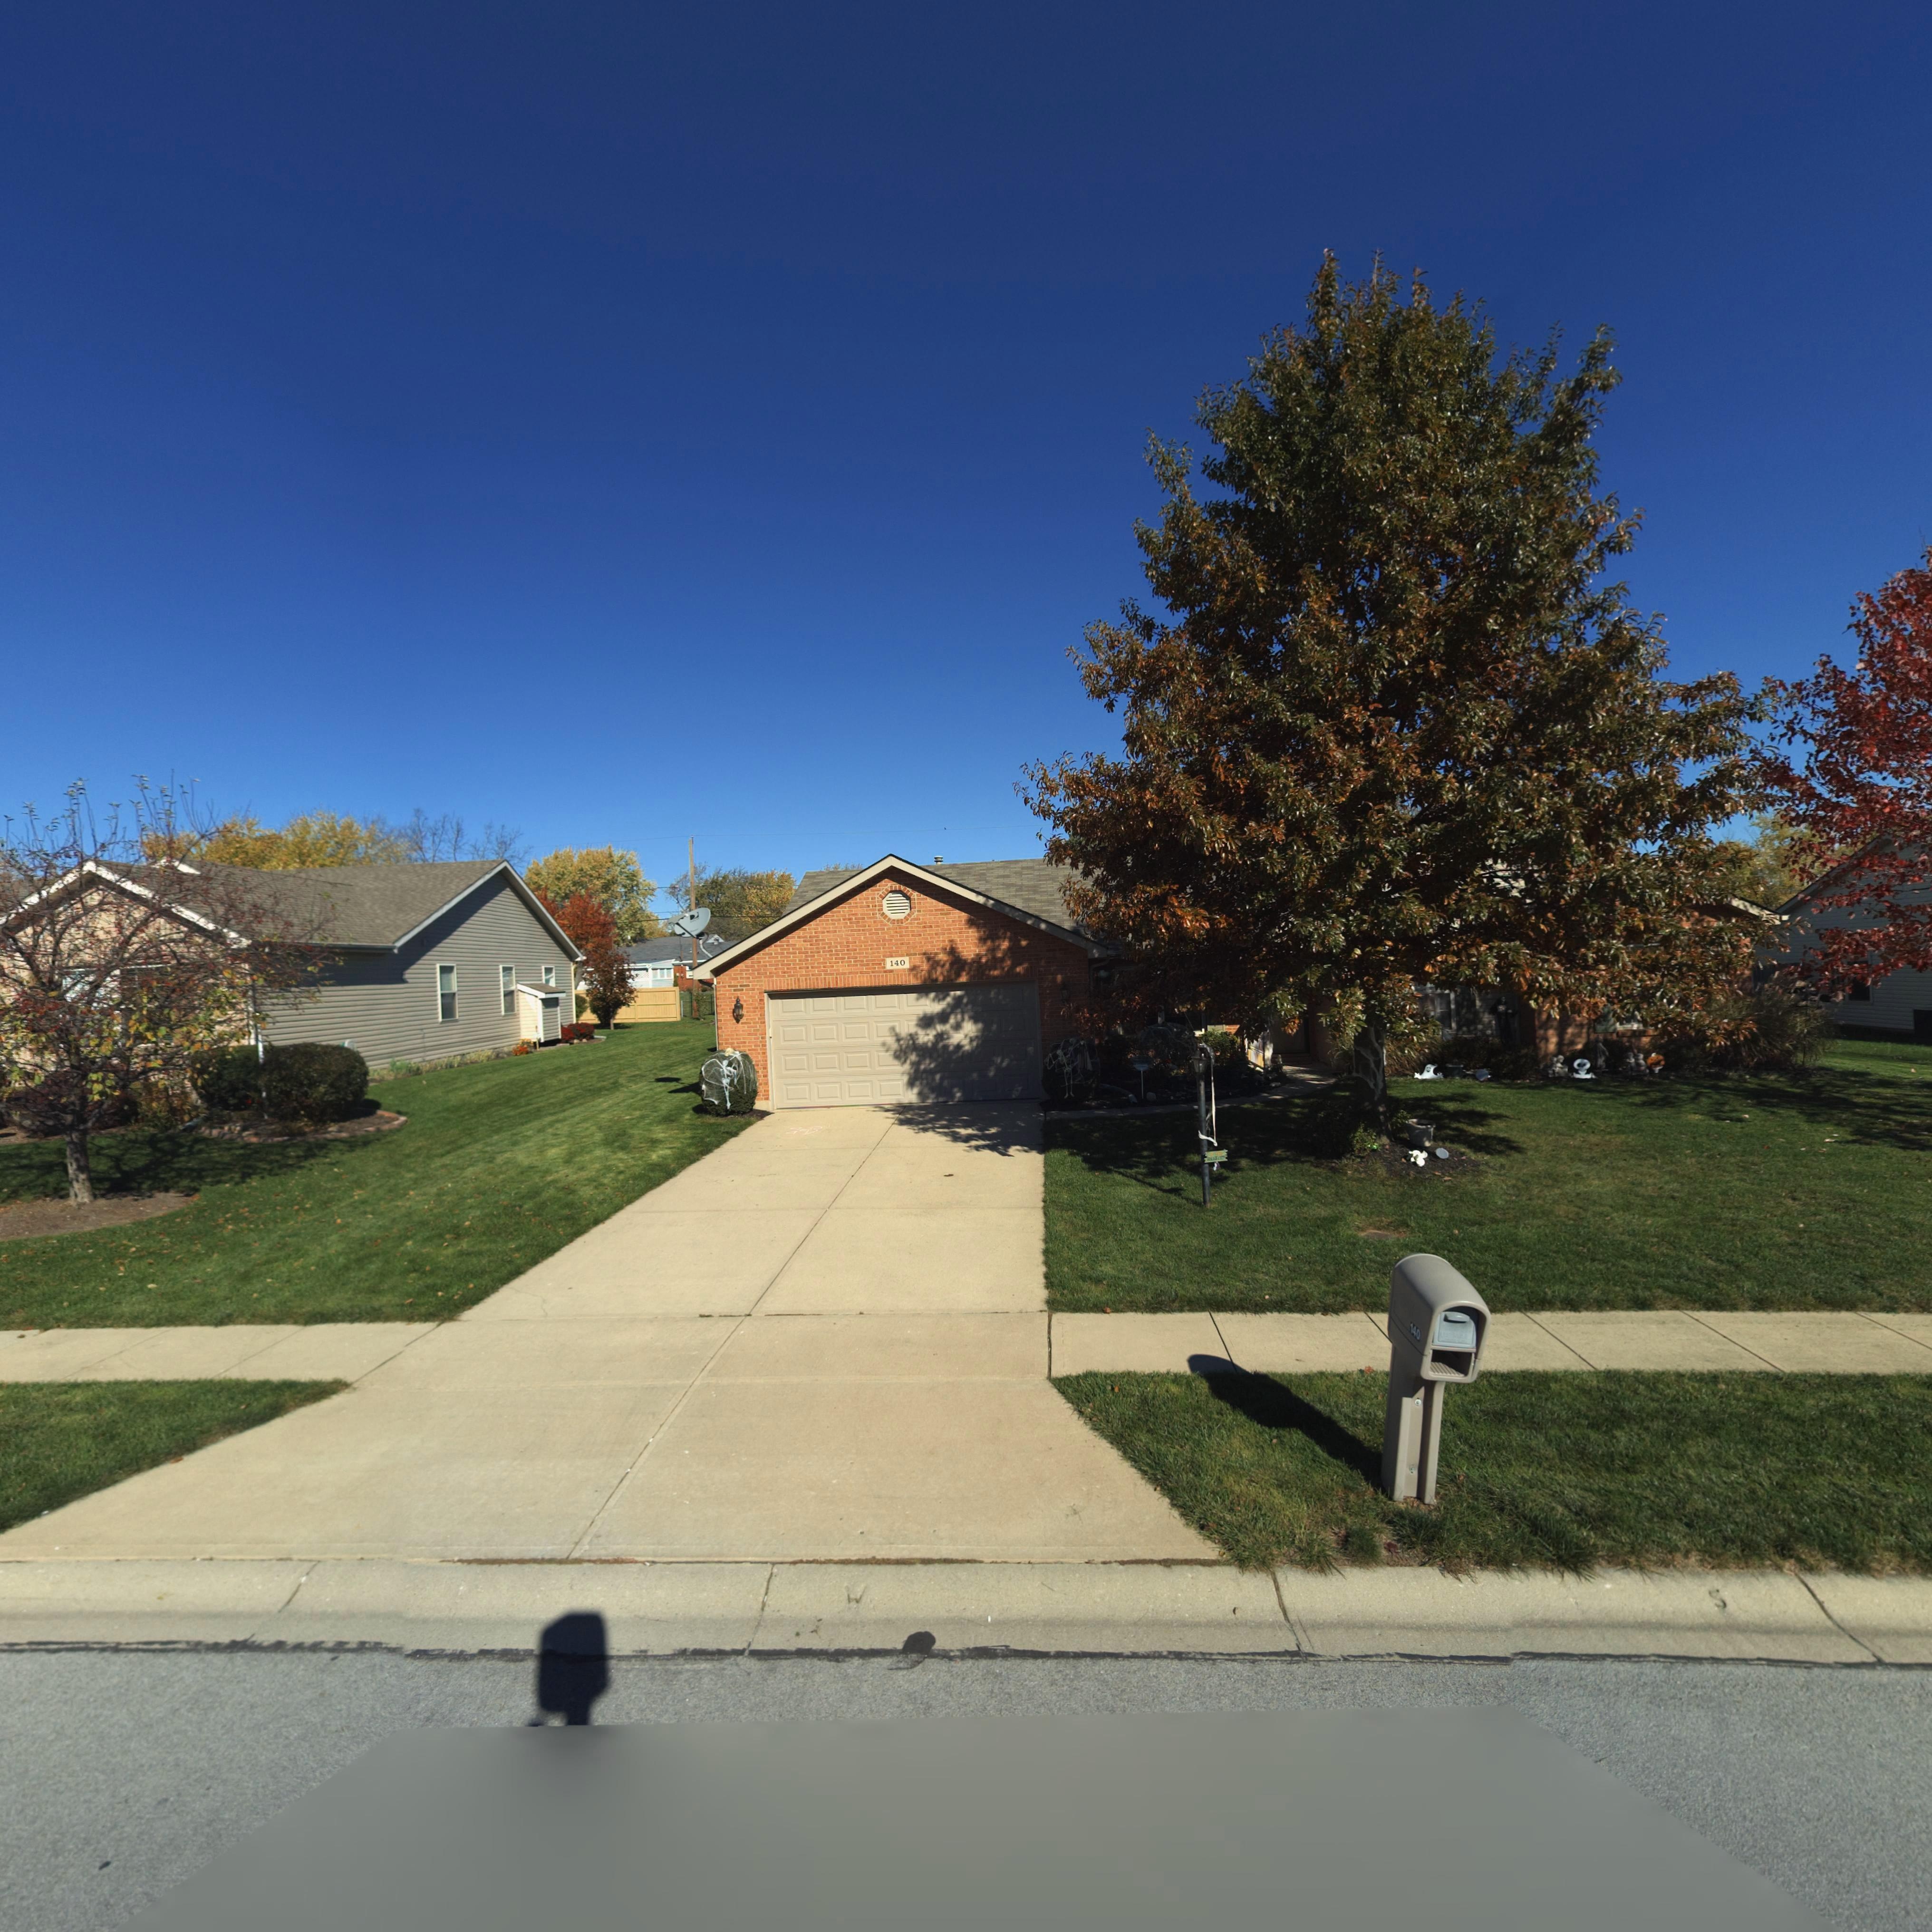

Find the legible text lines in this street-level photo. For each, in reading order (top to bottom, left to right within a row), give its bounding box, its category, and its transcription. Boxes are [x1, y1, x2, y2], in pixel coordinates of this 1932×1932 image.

[890, 959, 906, 966] StreetNumber: 140
[1410, 1321, 1422, 1343] StreetNumber: 140